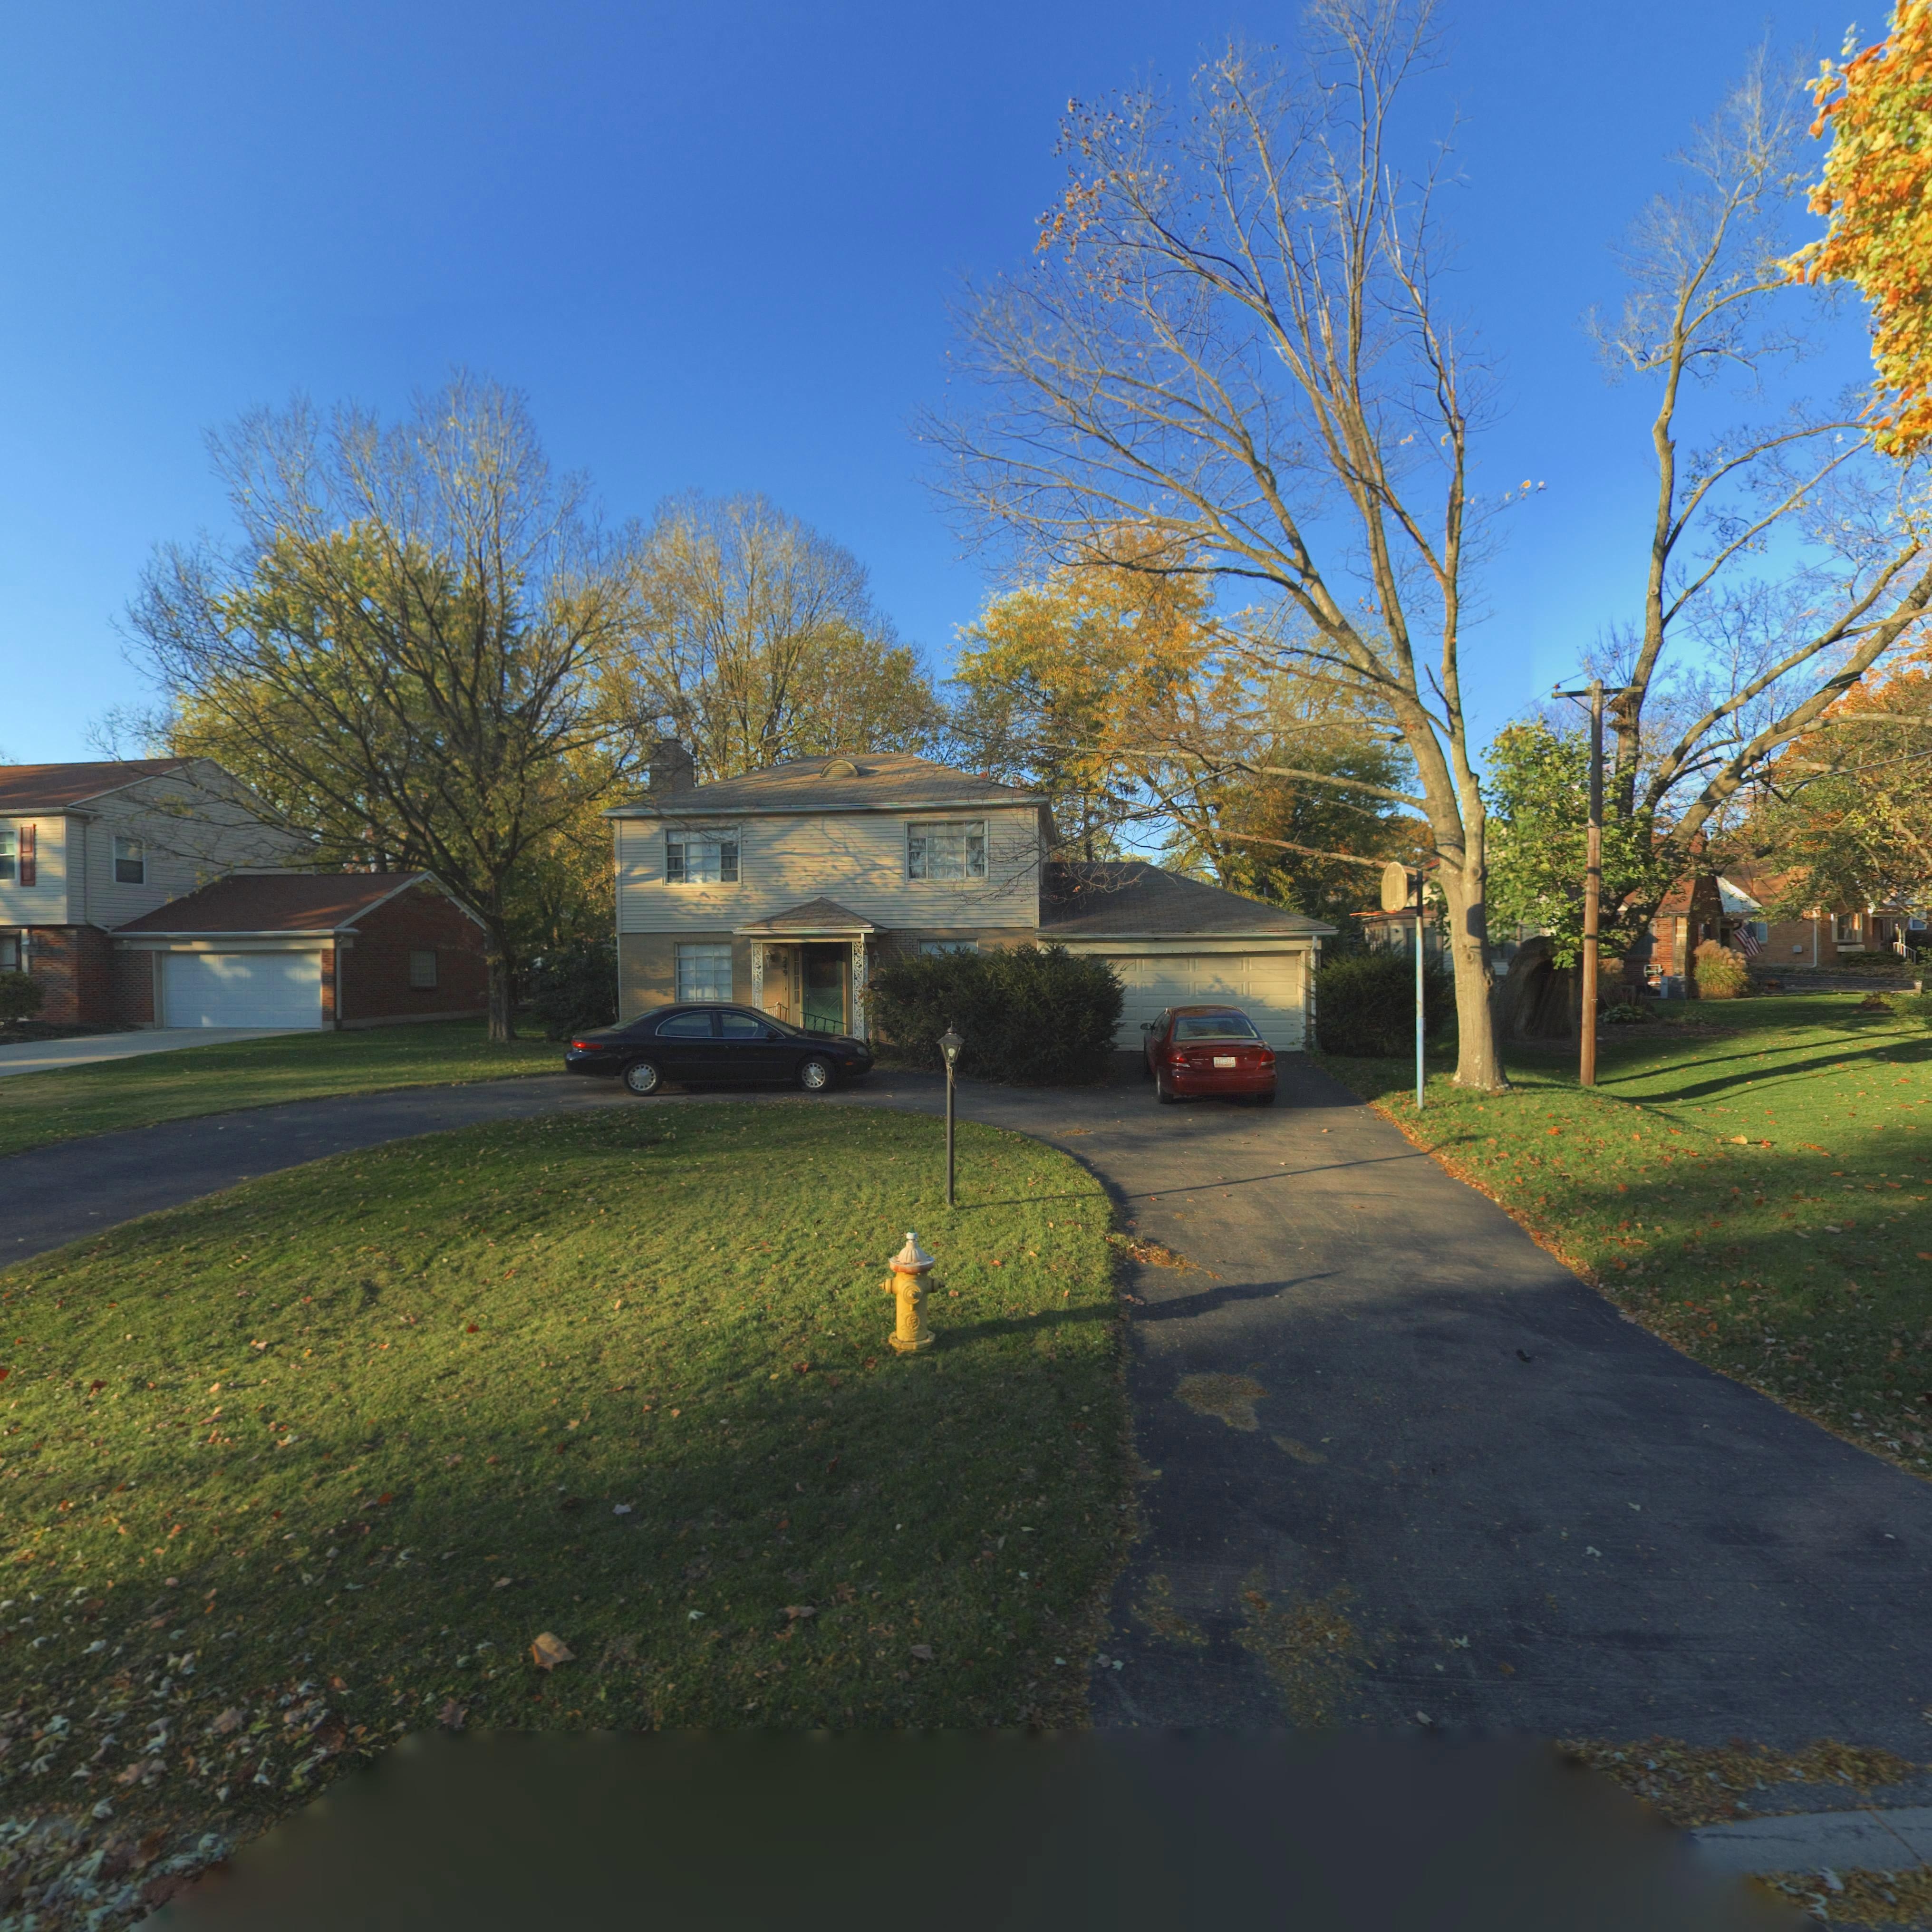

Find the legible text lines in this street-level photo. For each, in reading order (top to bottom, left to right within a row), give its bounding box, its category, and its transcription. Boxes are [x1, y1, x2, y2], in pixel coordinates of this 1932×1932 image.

[782, 956, 788, 976] StreetNumber: 249